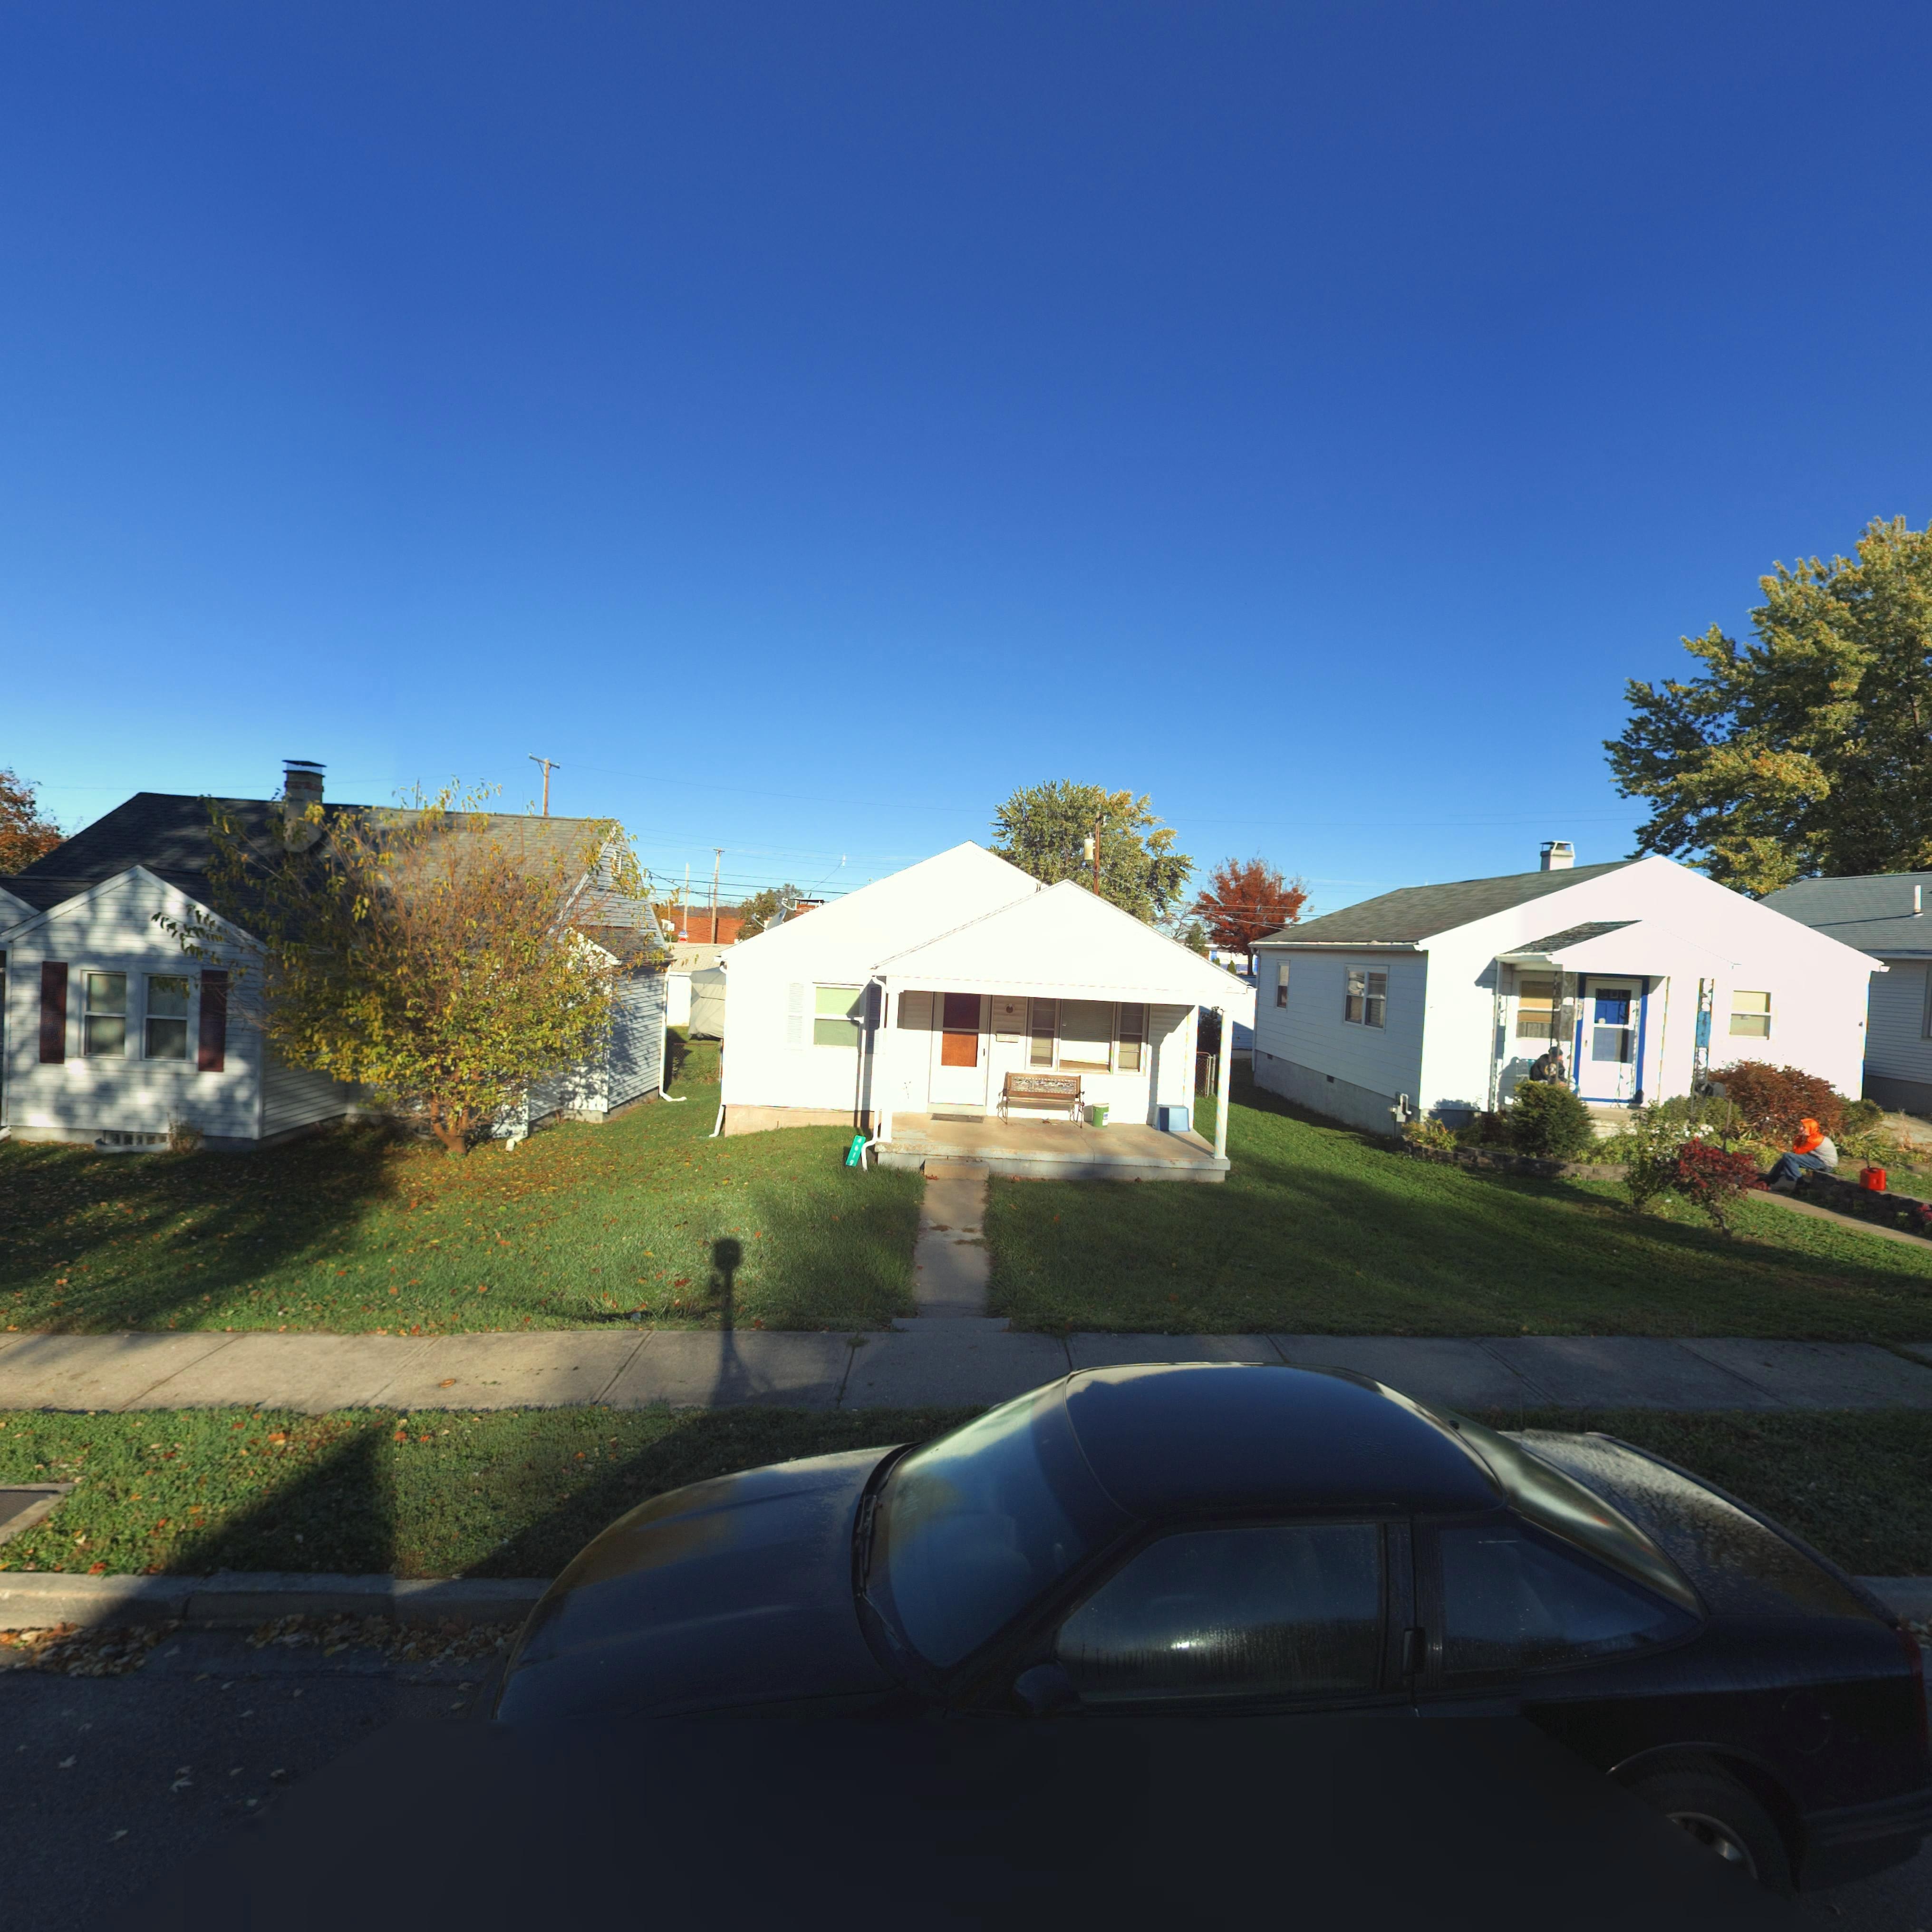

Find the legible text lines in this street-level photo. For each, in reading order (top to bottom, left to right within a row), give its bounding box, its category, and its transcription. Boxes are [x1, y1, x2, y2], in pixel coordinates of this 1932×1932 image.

[848, 1136, 863, 1167] StreetNumber: *619